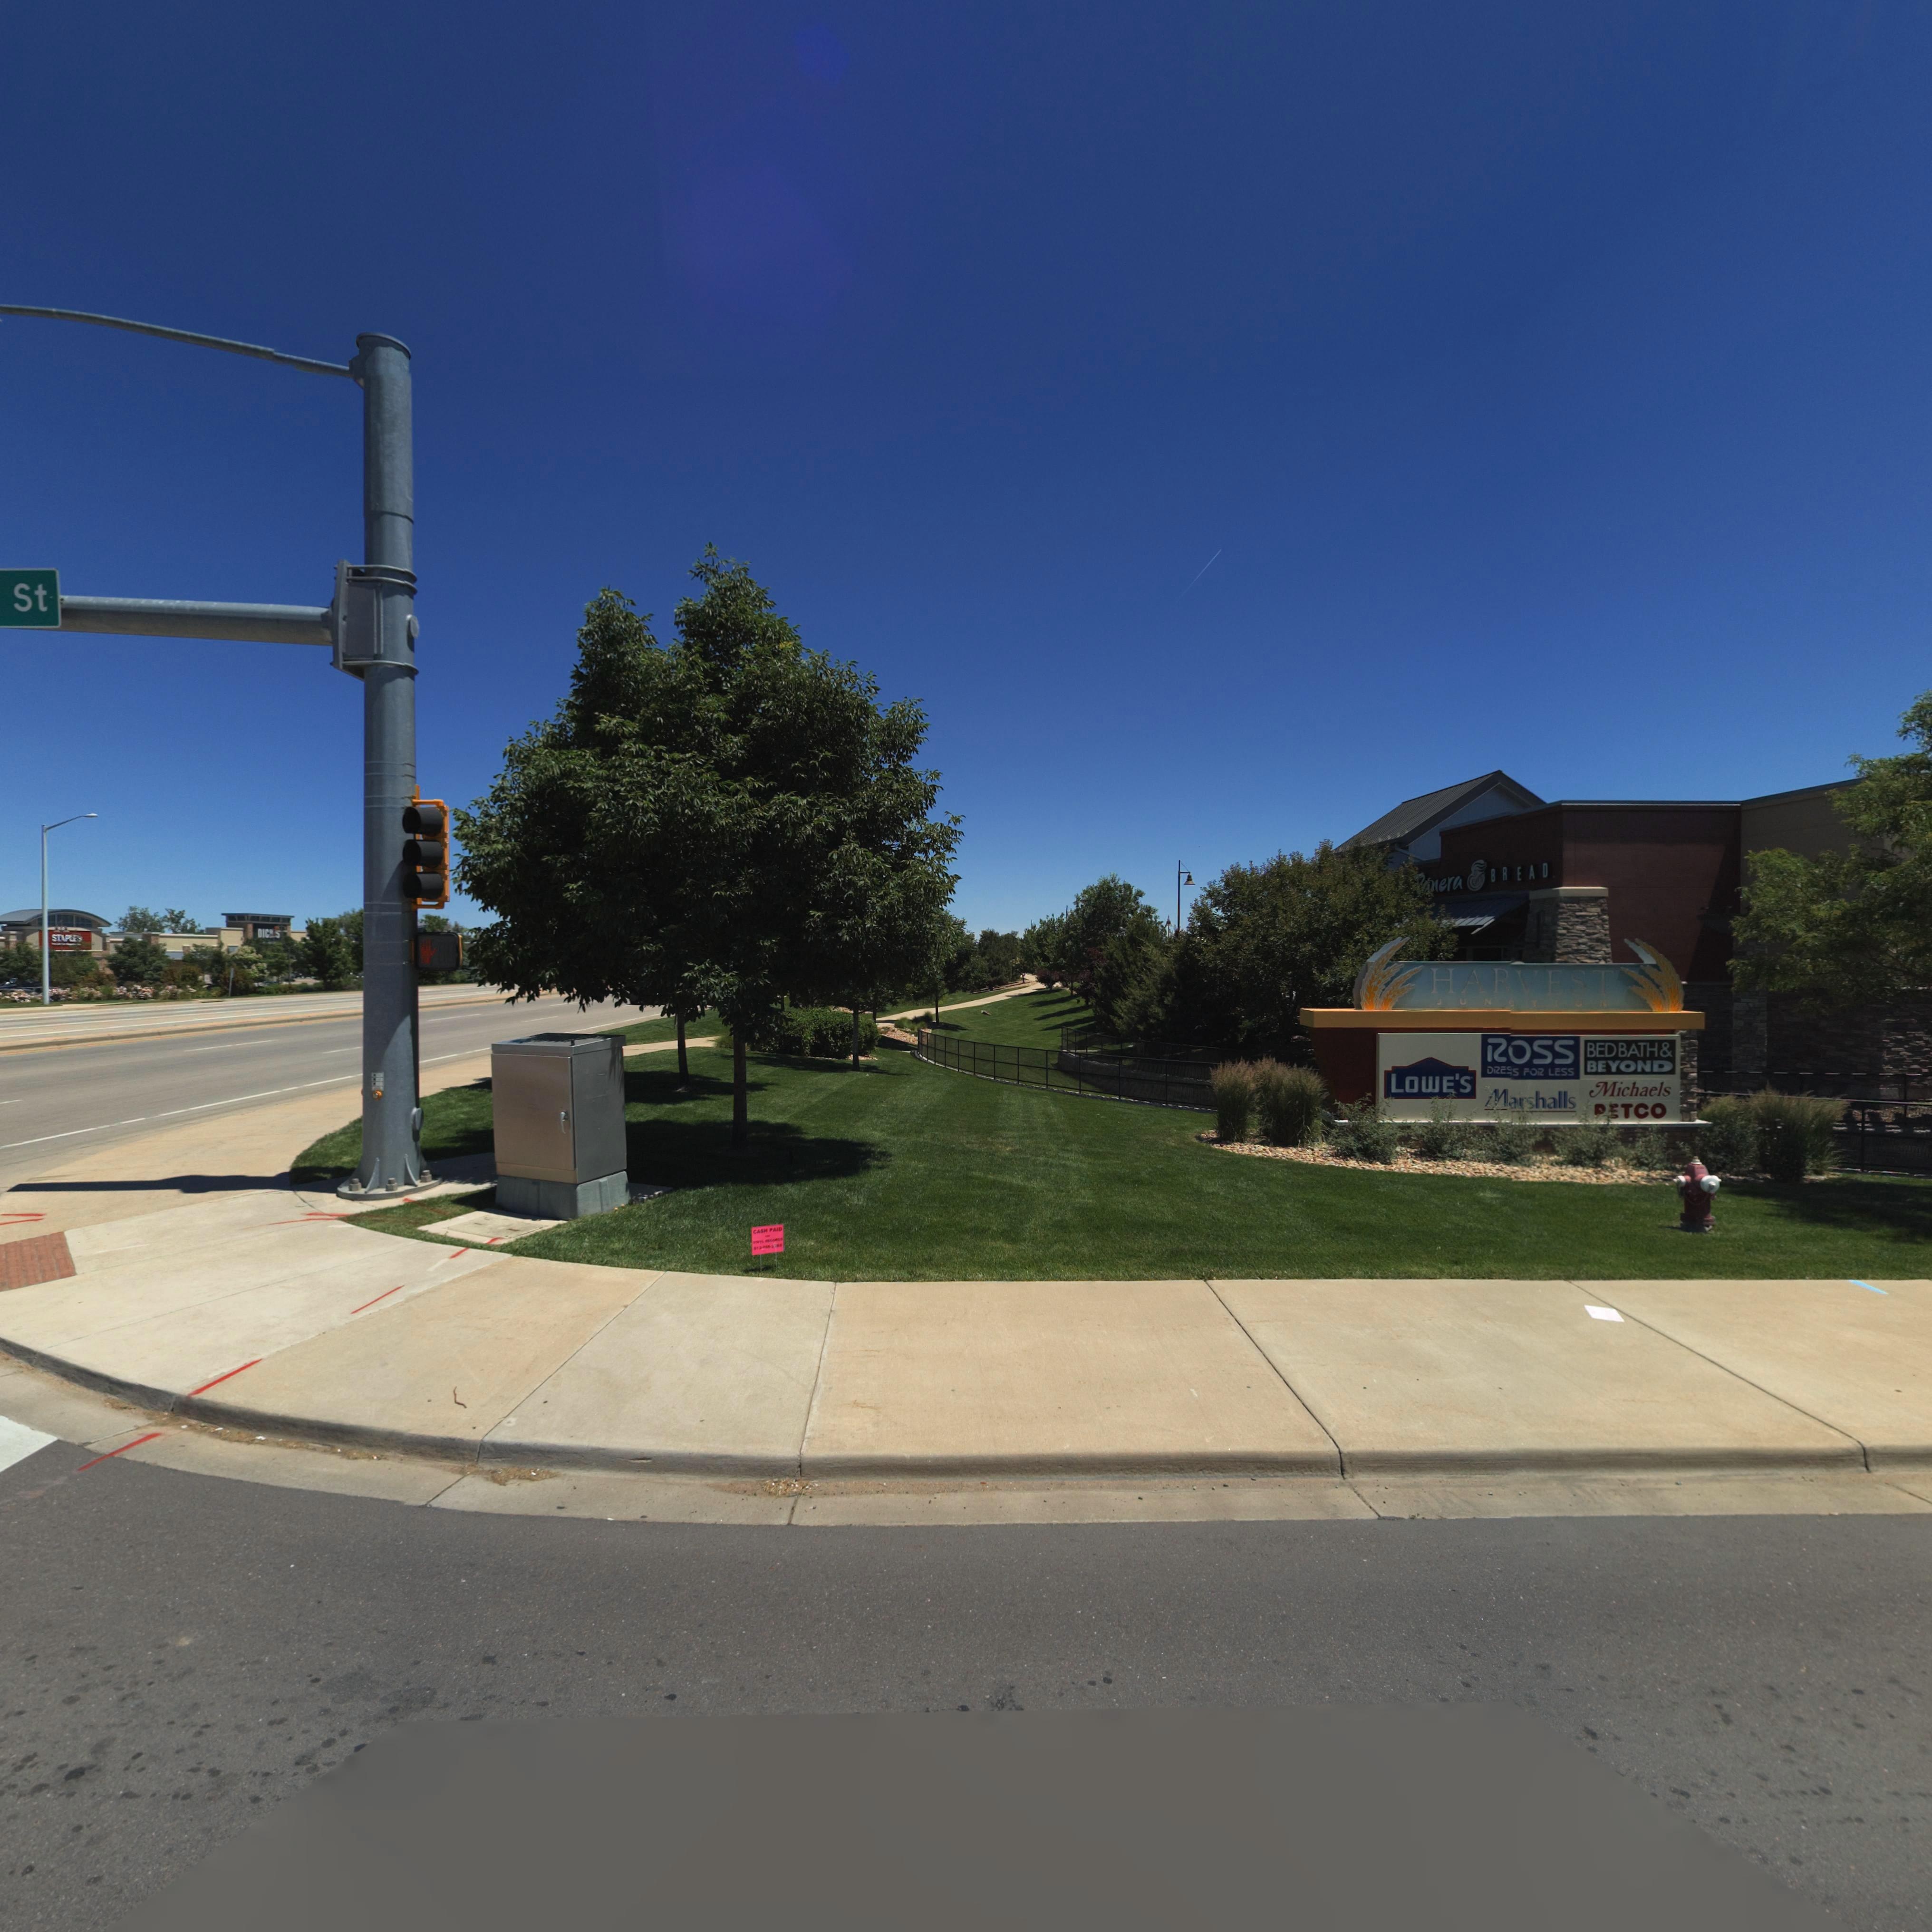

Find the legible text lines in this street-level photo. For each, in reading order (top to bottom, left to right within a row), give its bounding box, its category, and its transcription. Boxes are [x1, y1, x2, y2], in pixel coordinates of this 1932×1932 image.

[12, 581, 48, 613] StreetName: St
[1413, 861, 1549, 896] BusinessName: **nera * BREAD
[51, 934, 82, 942] BusinessName: STAP*ES
[258, 928, 281, 938] BusinessName: DIC**S
[1430, 966, 1616, 996] BusinessName: HARVEST
[1435, 997, 1608, 1008] BusinessName: JUN*TION
[1486, 1036, 1575, 1066] BusinessName: ROSS
[1586, 1042, 1673, 1058] BusinessName: BEDBATH&
[1486, 1065, 1575, 1076] BusinessName: DRE*S FOR LESS
[1586, 1059, 1674, 1073] BusinessName: BEYOND
[1390, 1072, 1473, 1094] BusinessName: LOWE'S
[1588, 1080, 1672, 1098] BusinessName: Michaels
[1483, 1088, 1577, 1109] BusinessName: Marshalls
[1594, 1101, 1668, 1120] BusinessName: **TCO